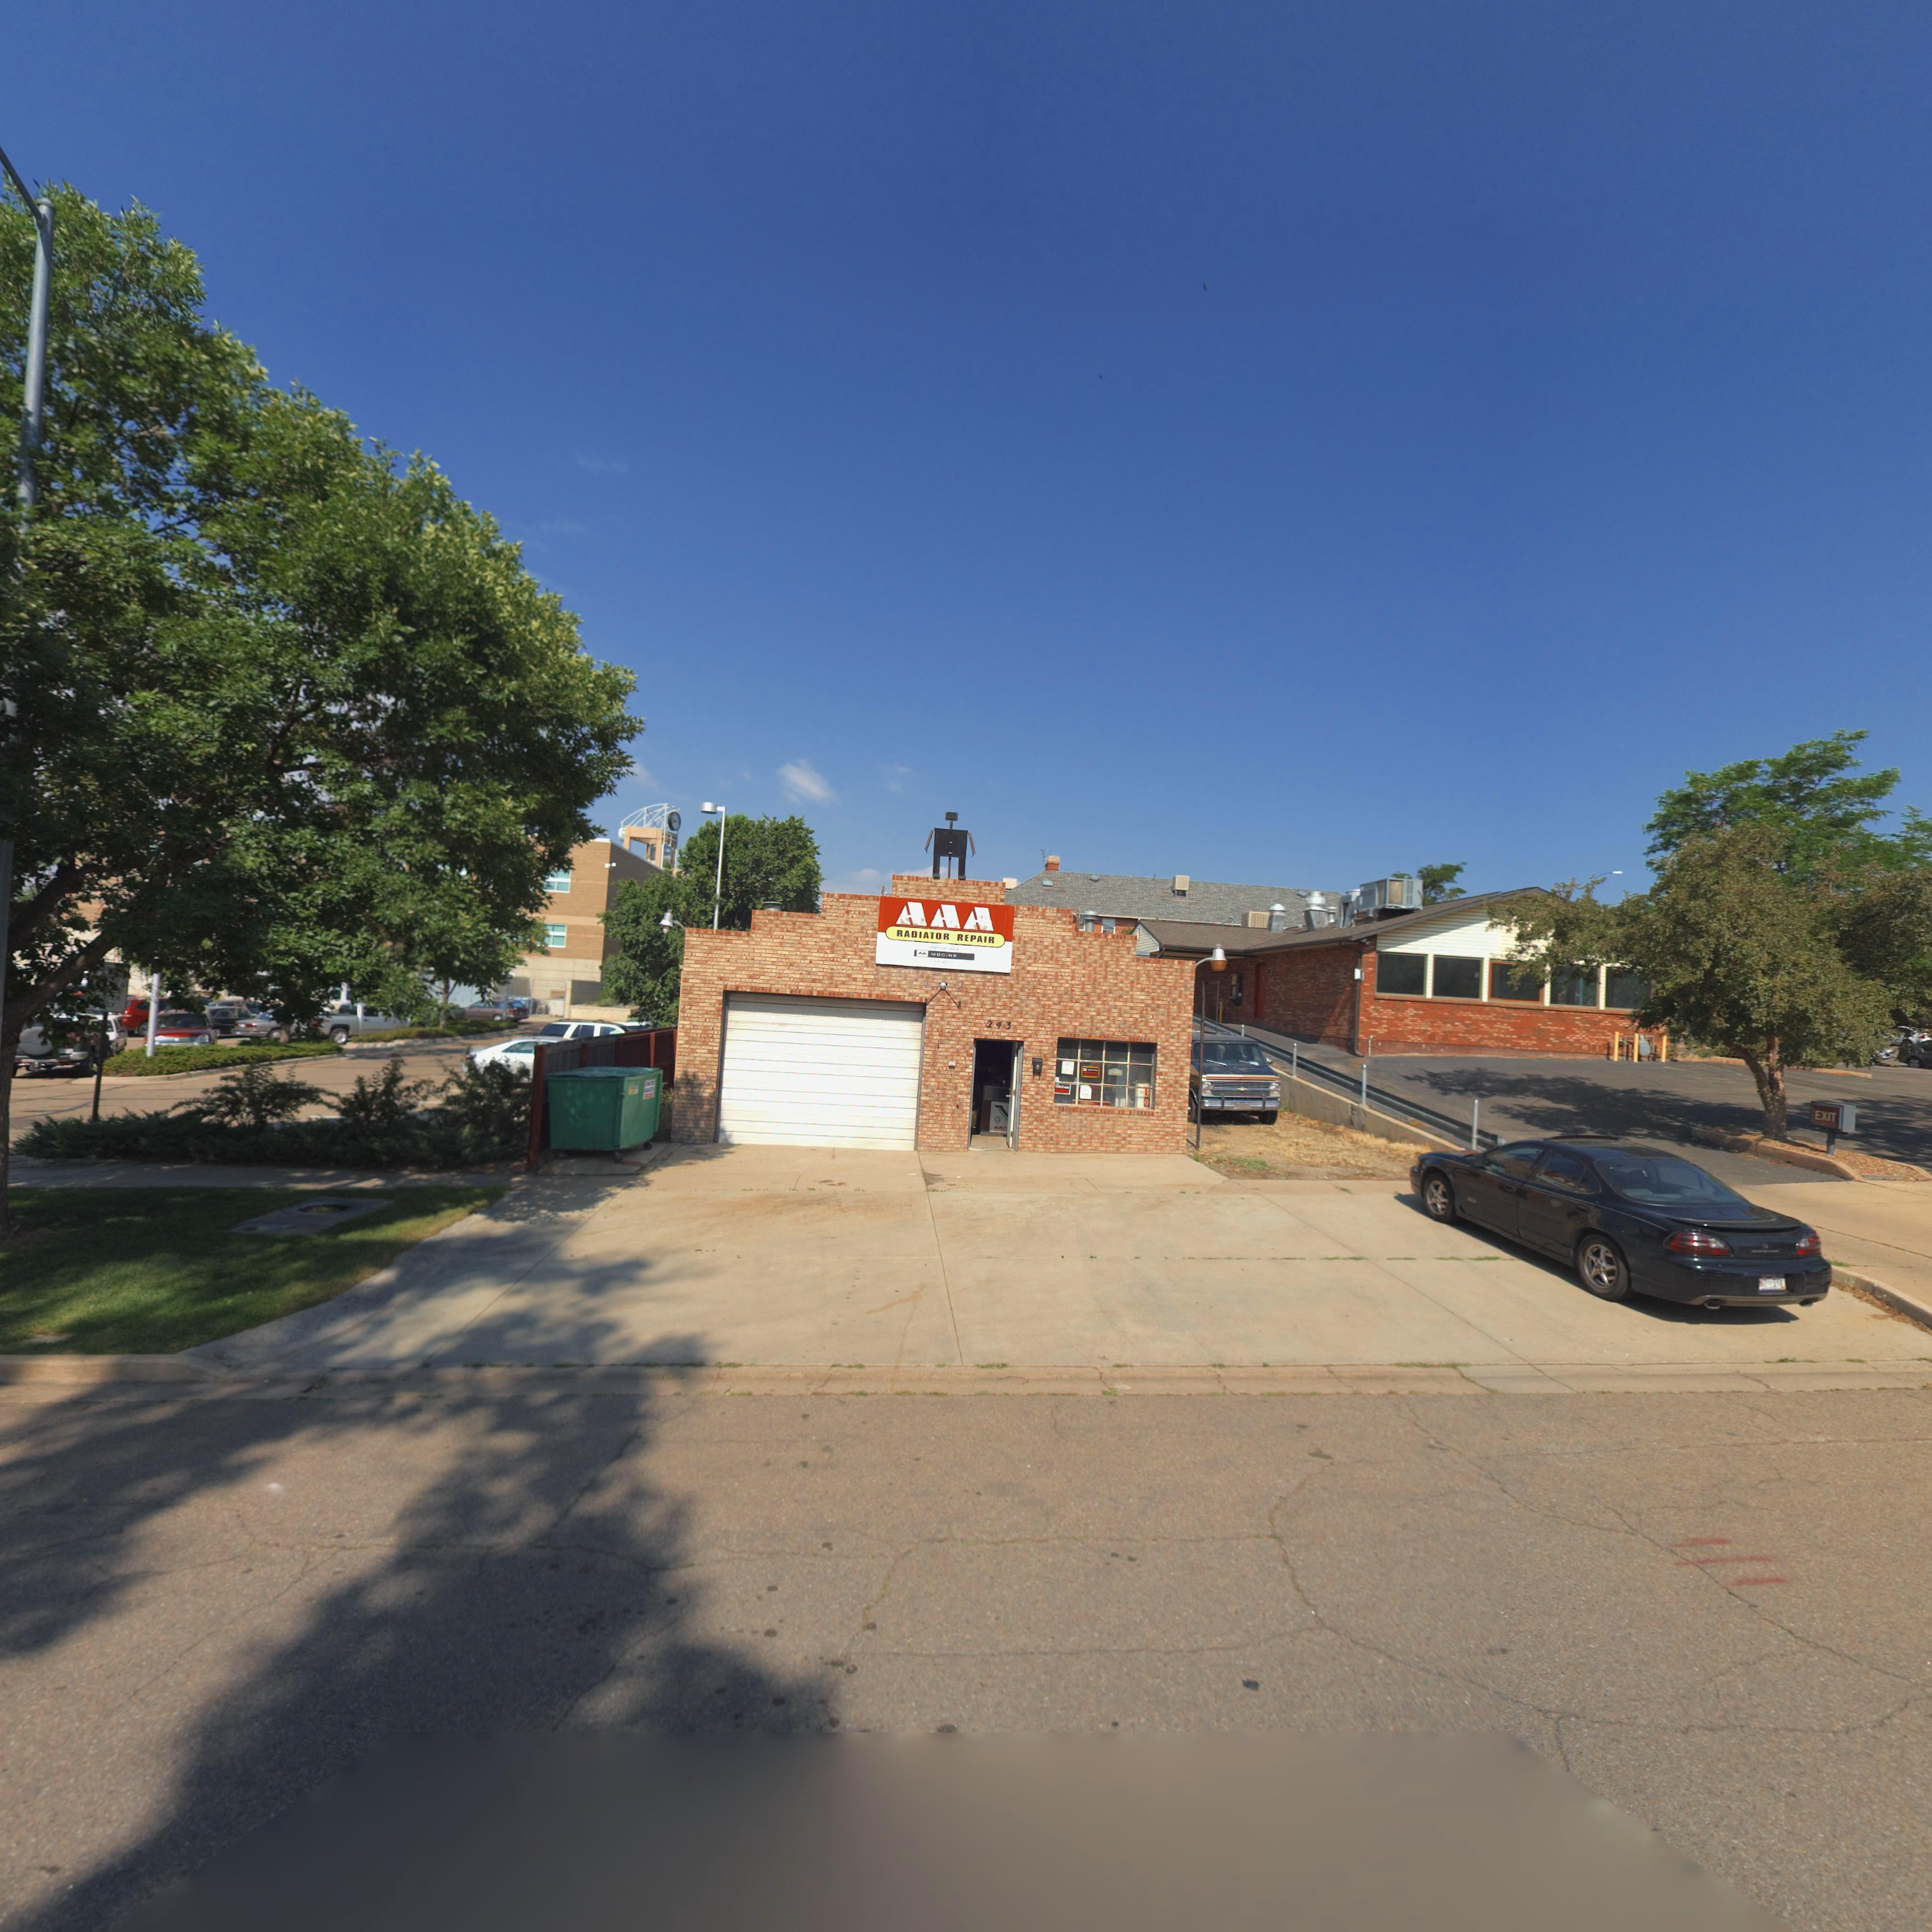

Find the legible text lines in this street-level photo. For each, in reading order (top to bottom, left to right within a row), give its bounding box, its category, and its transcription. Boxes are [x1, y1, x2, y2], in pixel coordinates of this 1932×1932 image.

[896, 901, 994, 931] BusinessName: AAA
[897, 929, 994, 944] BusinessName: RADIATOR REPAIR
[986, 1020, 1012, 1030] StreetNumber: 243